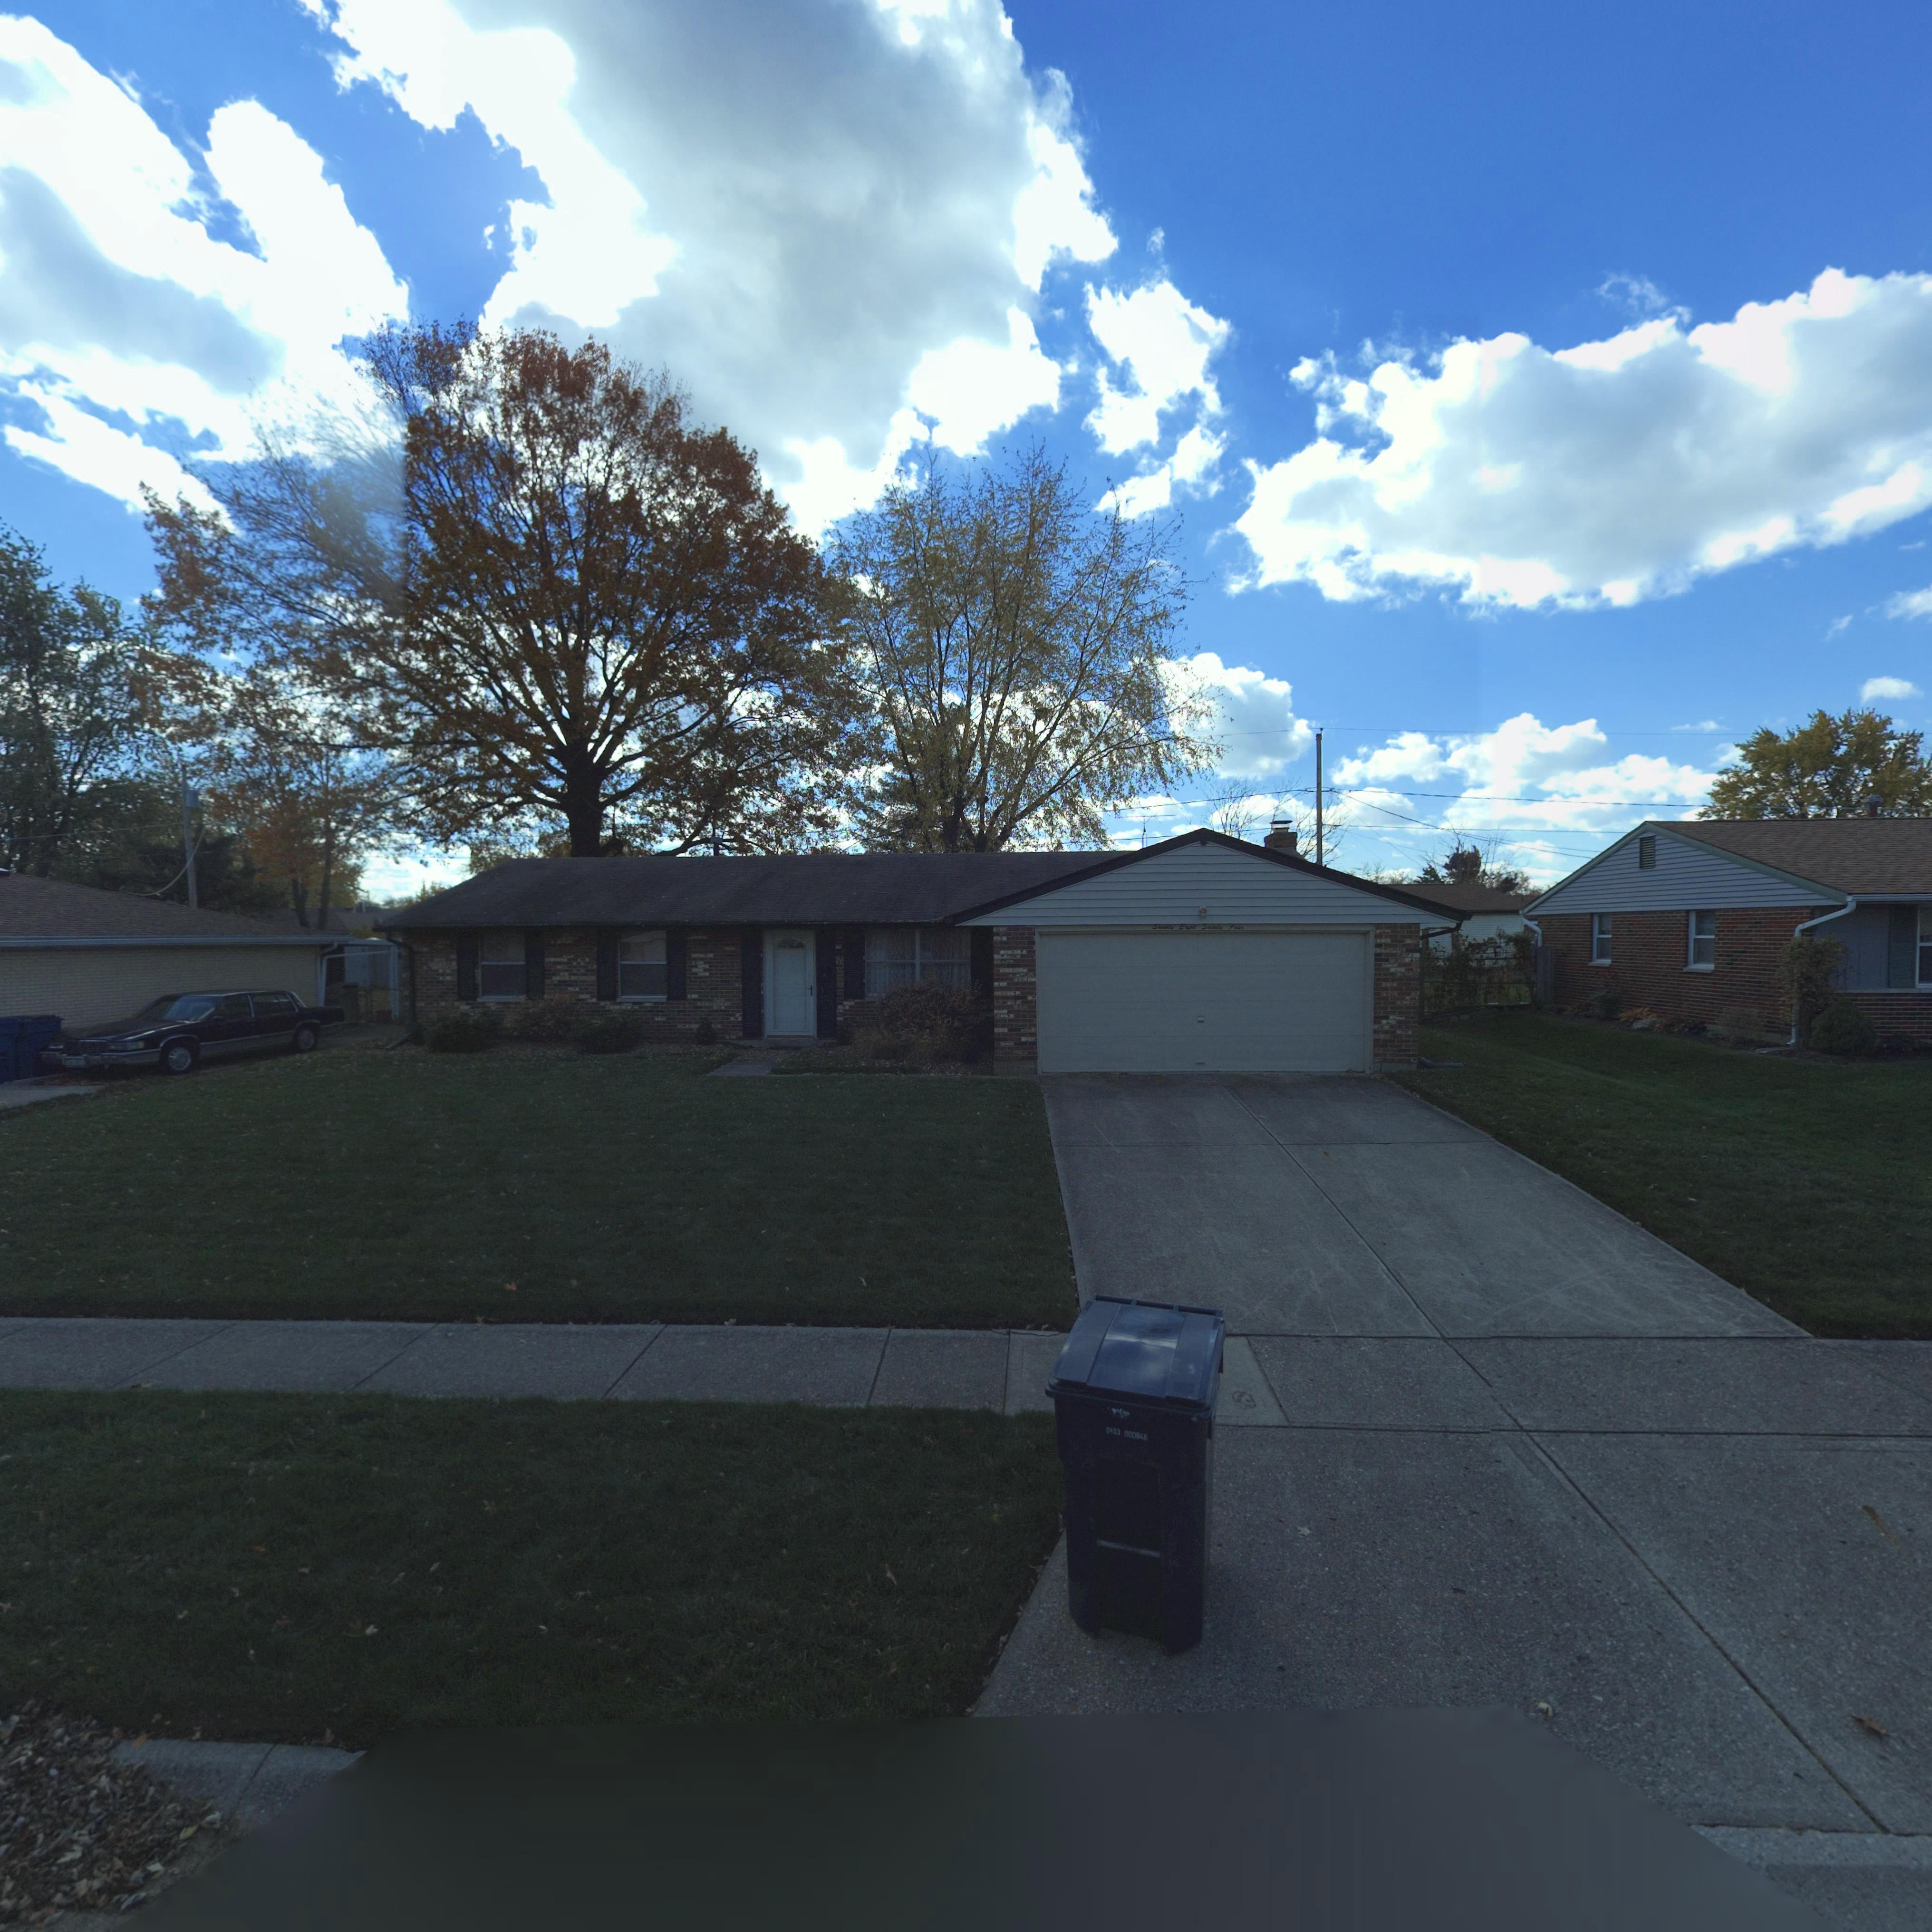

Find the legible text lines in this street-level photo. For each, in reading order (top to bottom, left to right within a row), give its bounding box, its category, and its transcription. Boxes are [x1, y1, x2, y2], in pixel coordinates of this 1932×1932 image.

[1152, 923, 1245, 930] StreetNumber: Seventy Eight Seventy Four